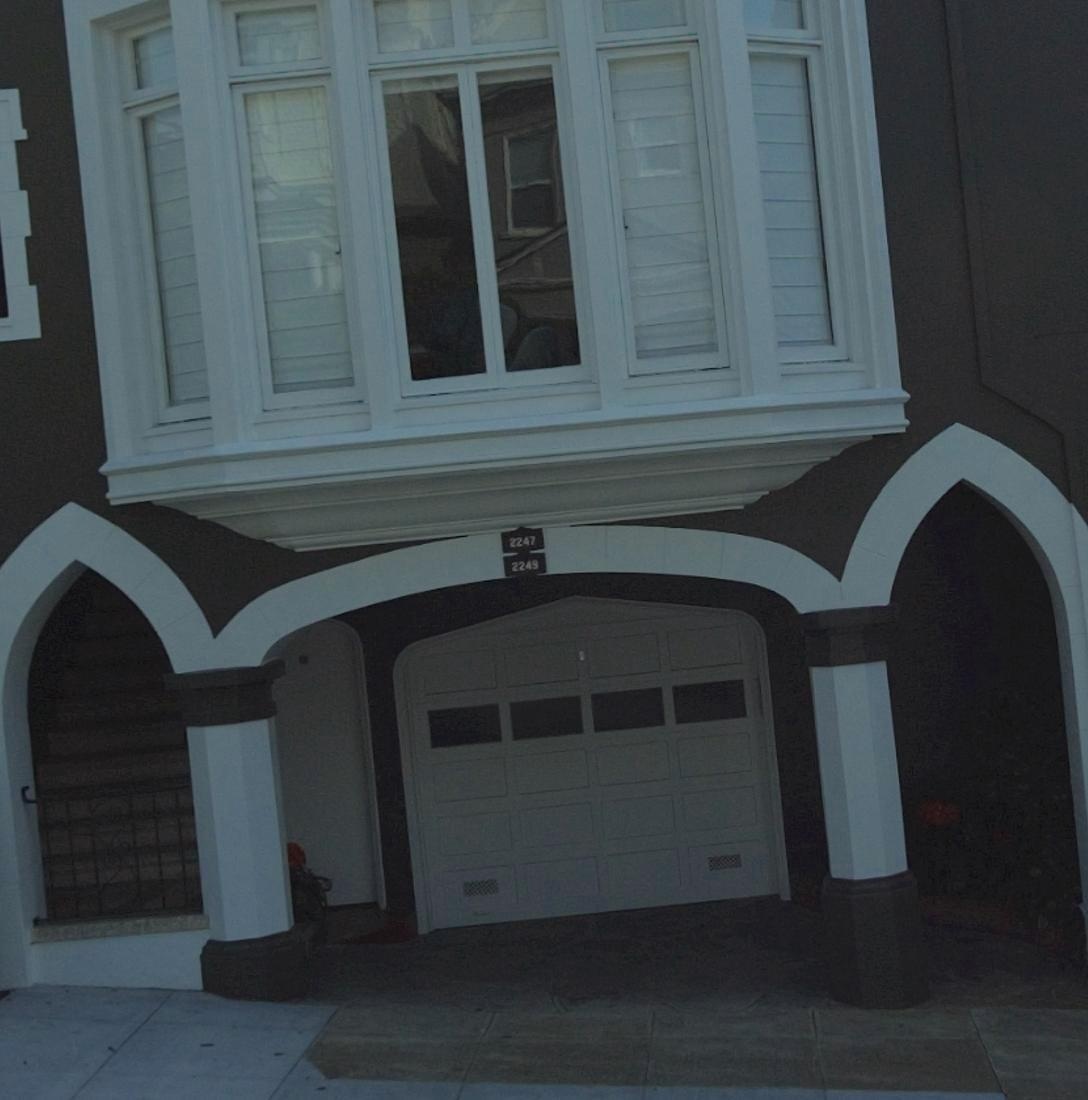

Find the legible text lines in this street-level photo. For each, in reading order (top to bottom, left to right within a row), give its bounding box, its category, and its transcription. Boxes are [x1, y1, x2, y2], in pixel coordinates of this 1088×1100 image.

[508, 534, 537, 548] StreetNumber: 2247
[510, 557, 540, 573] StreetNumber: 2249